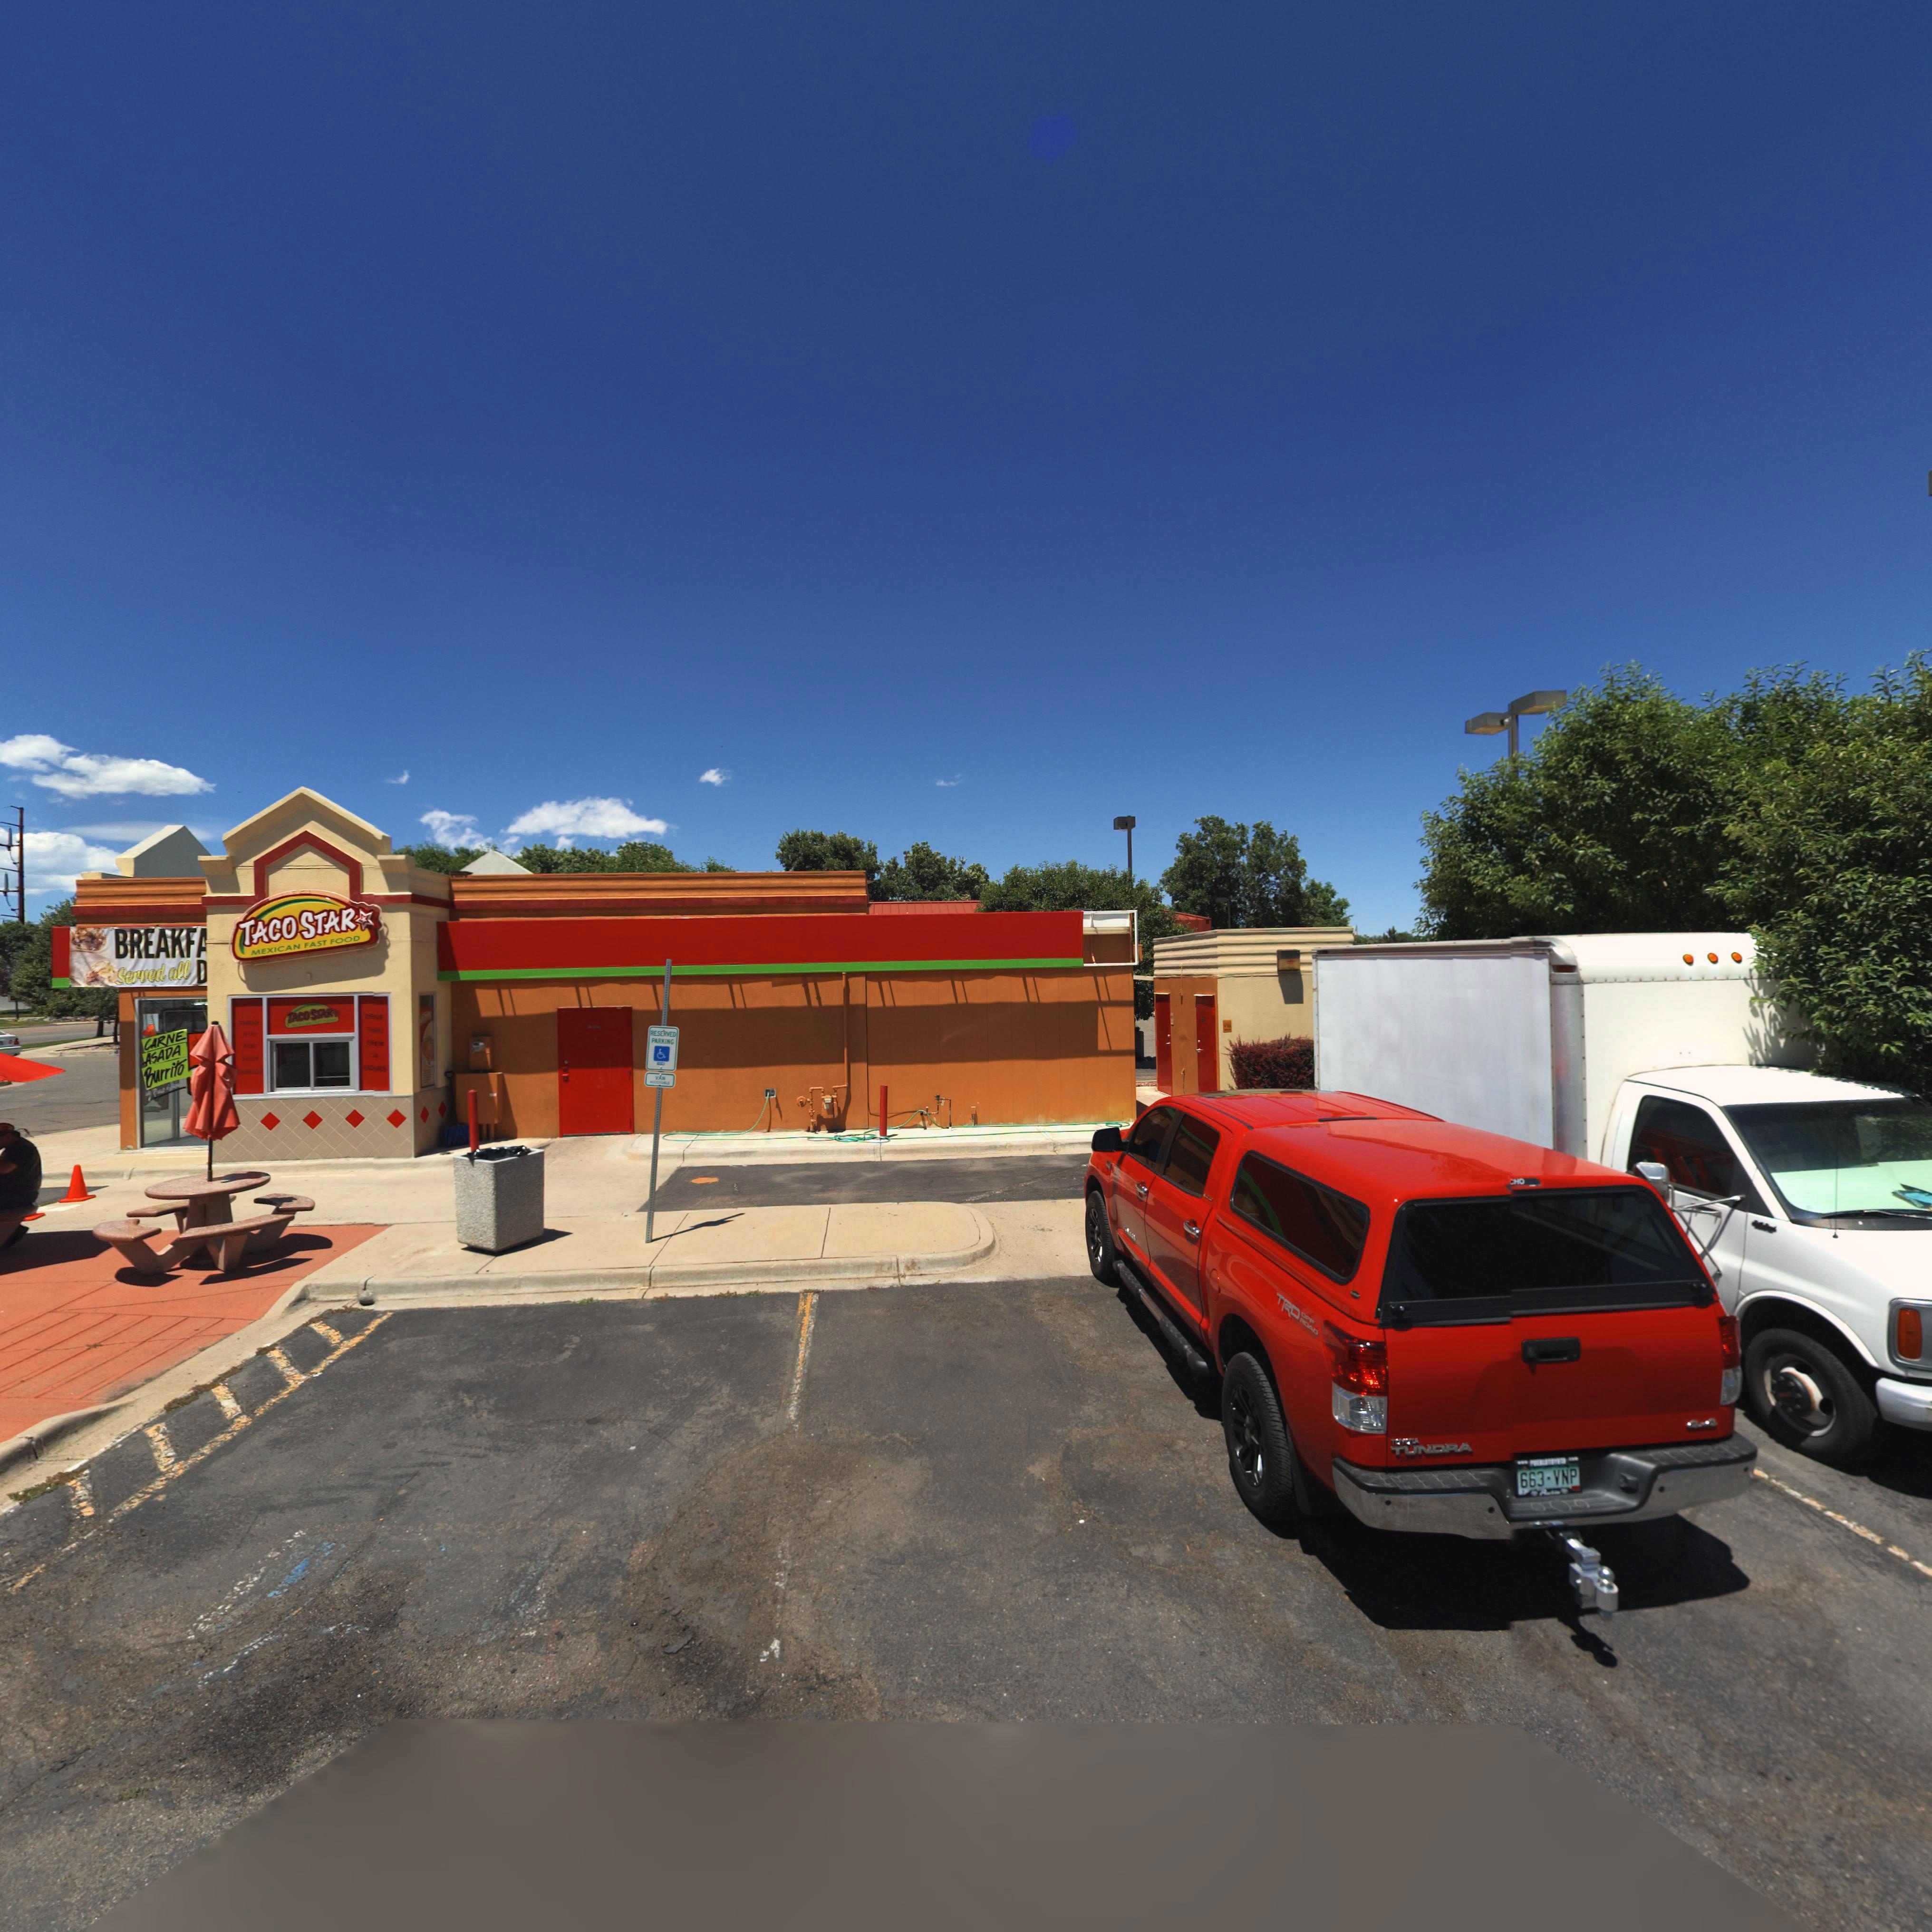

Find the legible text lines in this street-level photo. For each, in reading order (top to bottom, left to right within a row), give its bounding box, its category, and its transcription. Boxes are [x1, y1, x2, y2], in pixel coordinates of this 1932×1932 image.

[234, 905, 357, 948] BusinessName: TACO STAR
[249, 934, 361, 956] BusinessName: MEXICAN FAST FOOD
[285, 1007, 336, 1024] BusinessName: TACO STAR